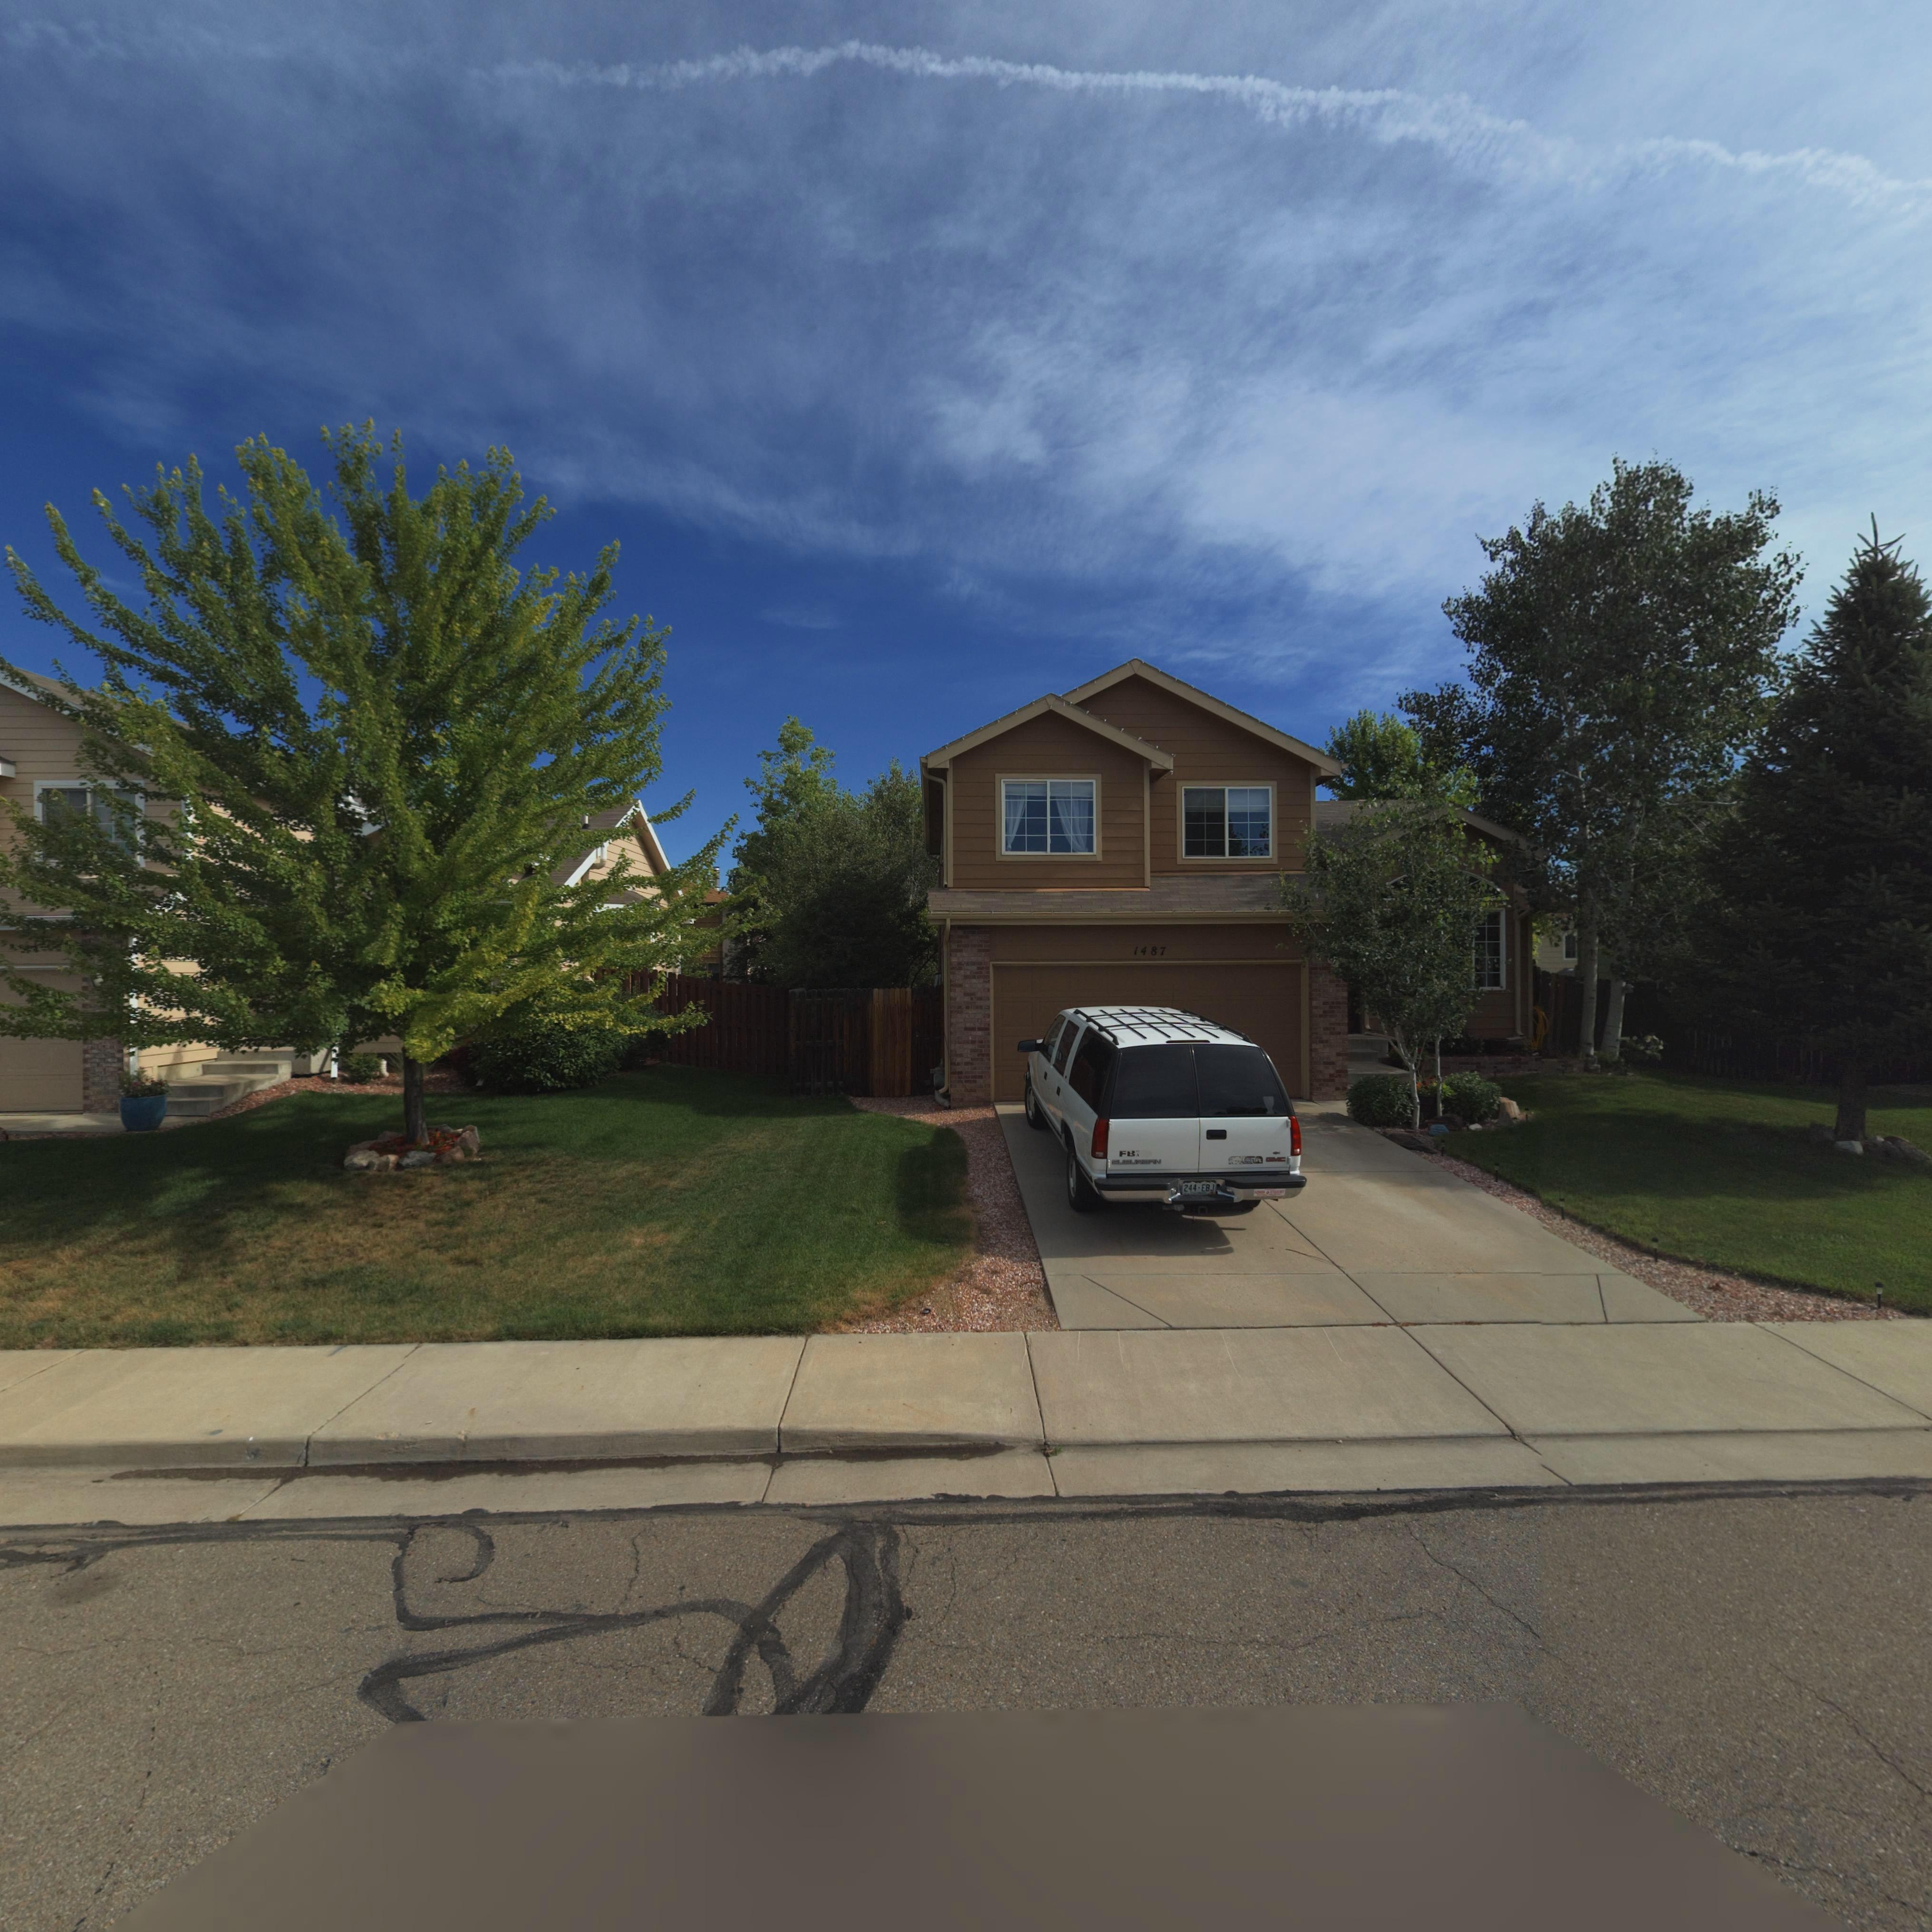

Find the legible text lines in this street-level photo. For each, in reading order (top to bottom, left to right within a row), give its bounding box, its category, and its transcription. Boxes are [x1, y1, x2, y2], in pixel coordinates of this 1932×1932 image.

[1132, 946, 1167, 956] StreetNumber: 1487